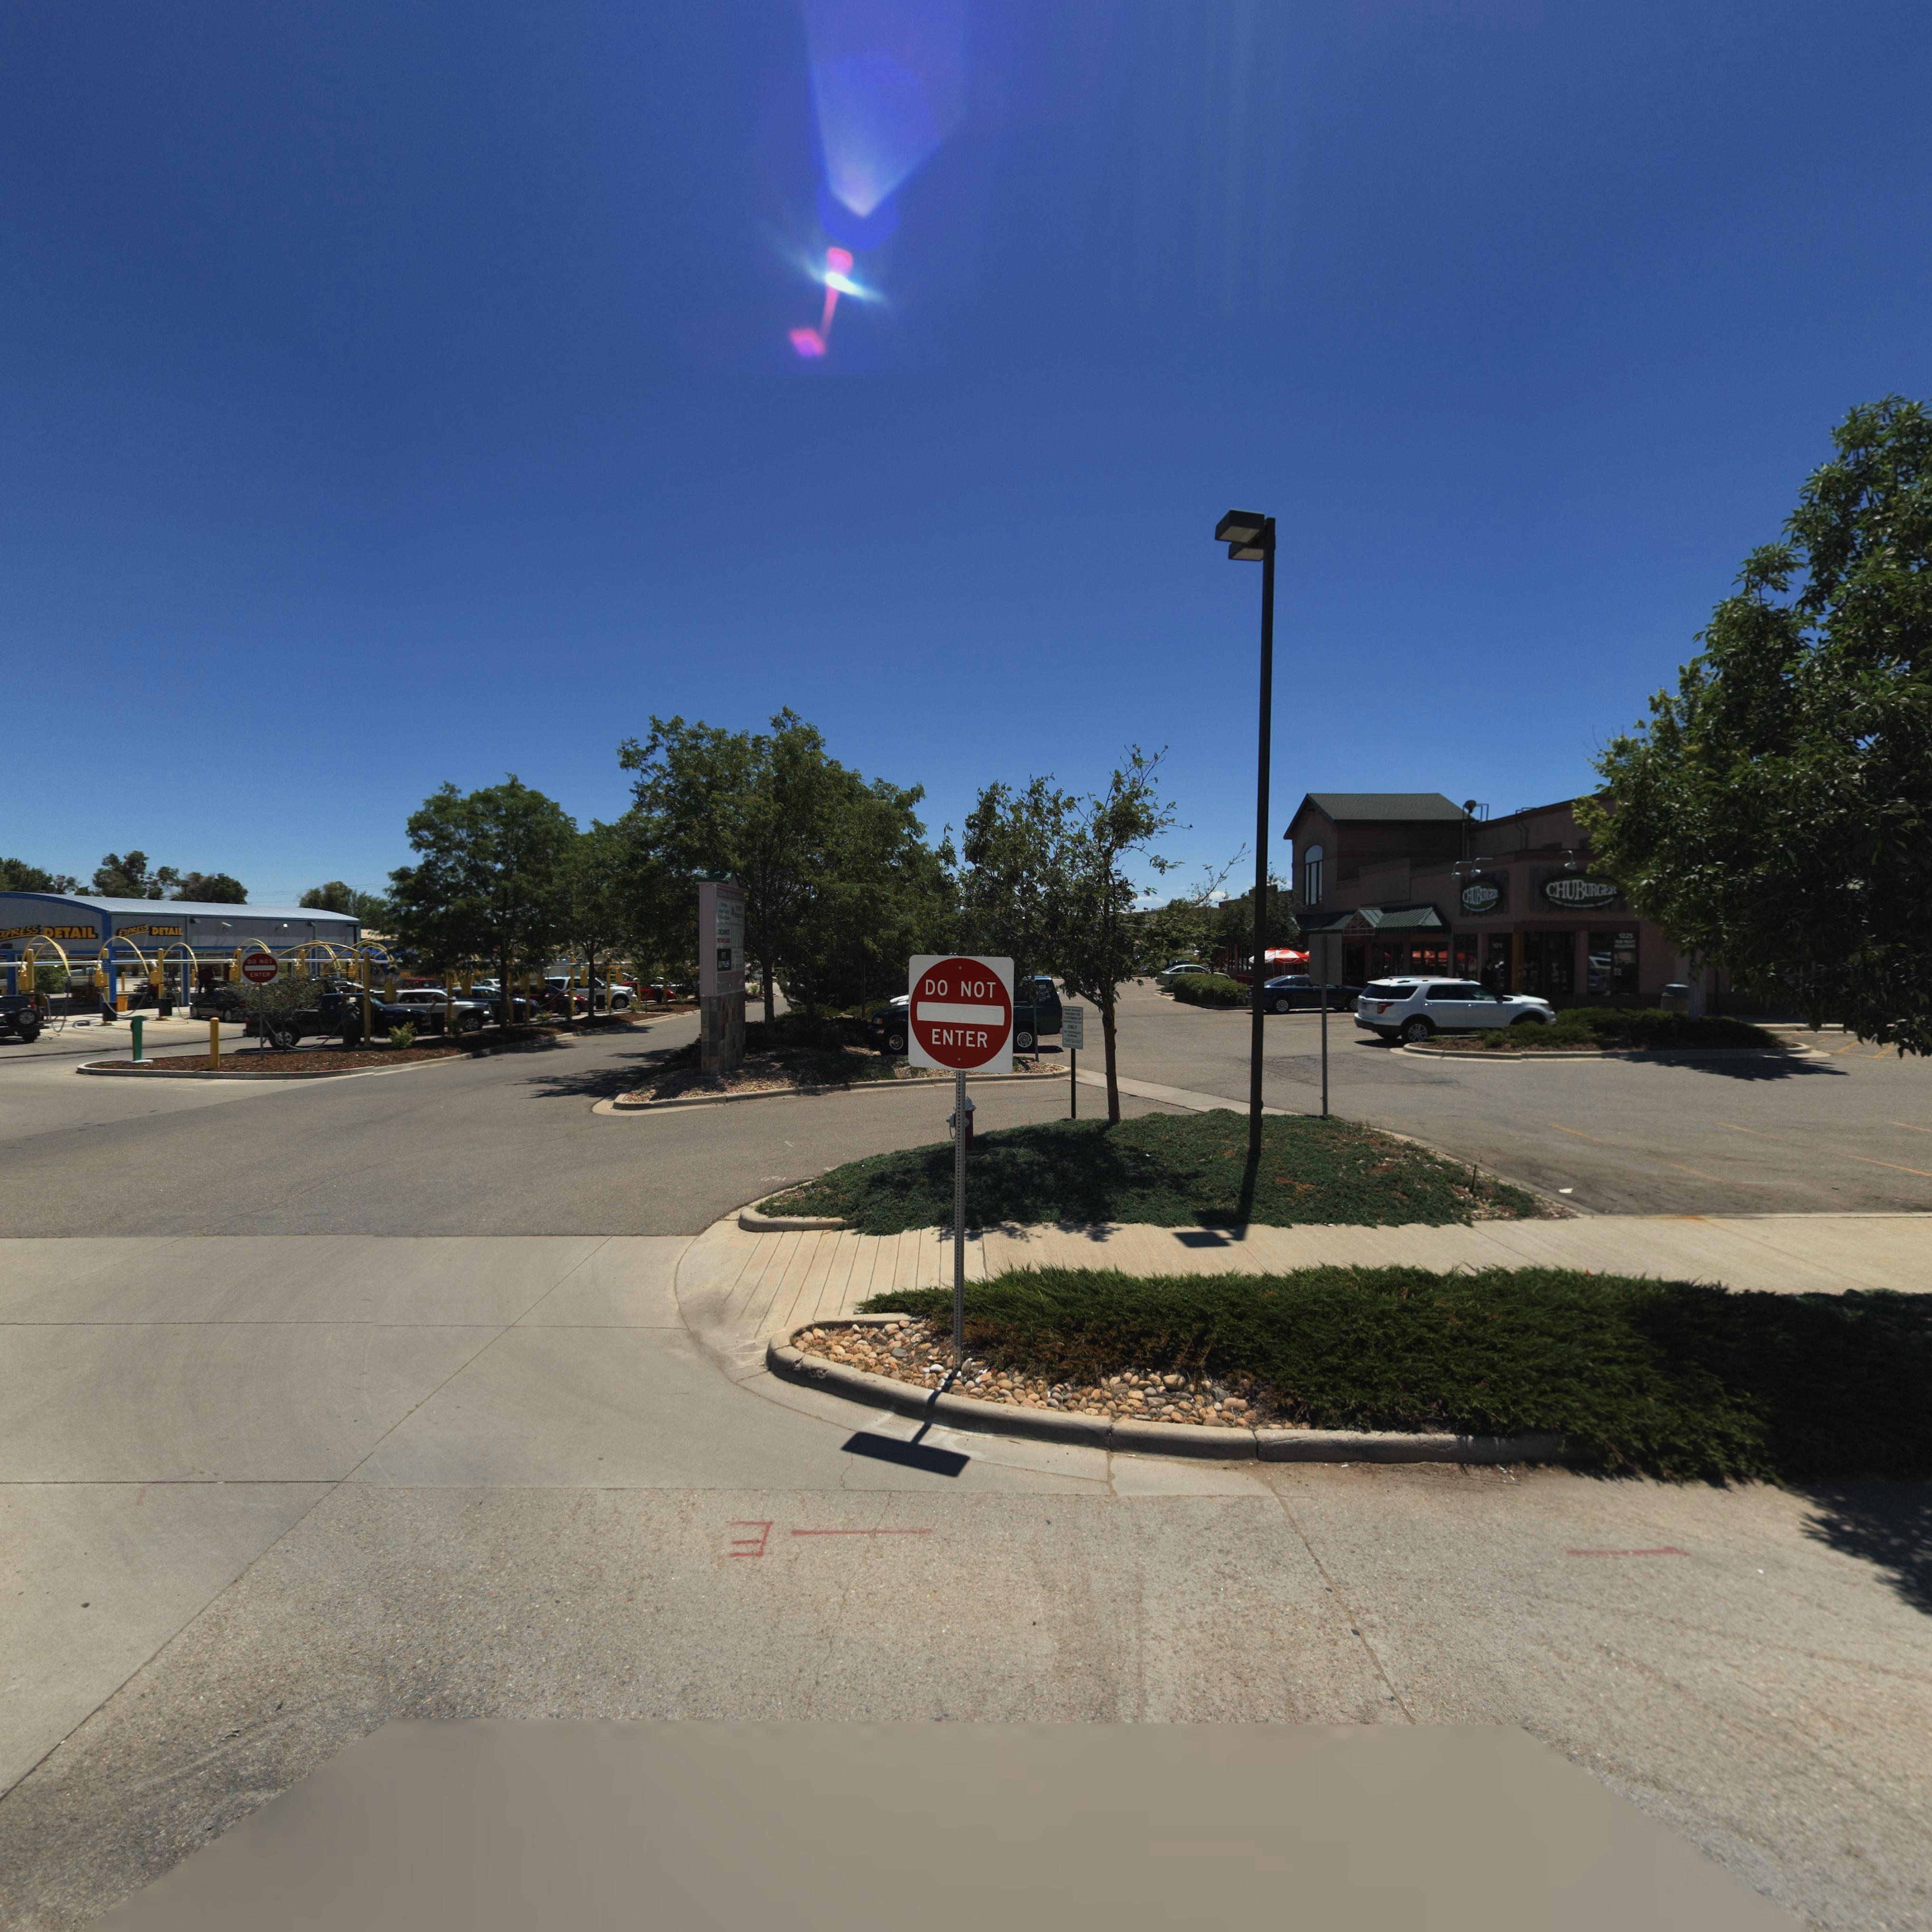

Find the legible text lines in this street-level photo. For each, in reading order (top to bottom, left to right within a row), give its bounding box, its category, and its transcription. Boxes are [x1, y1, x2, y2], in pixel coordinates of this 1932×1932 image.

[1545, 878, 1618, 901] BusinessName: CHUBURGER
[1617, 932, 1633, 939] StreetNumber: 1225
[721, 951, 726, 959] BusinessName: *ET